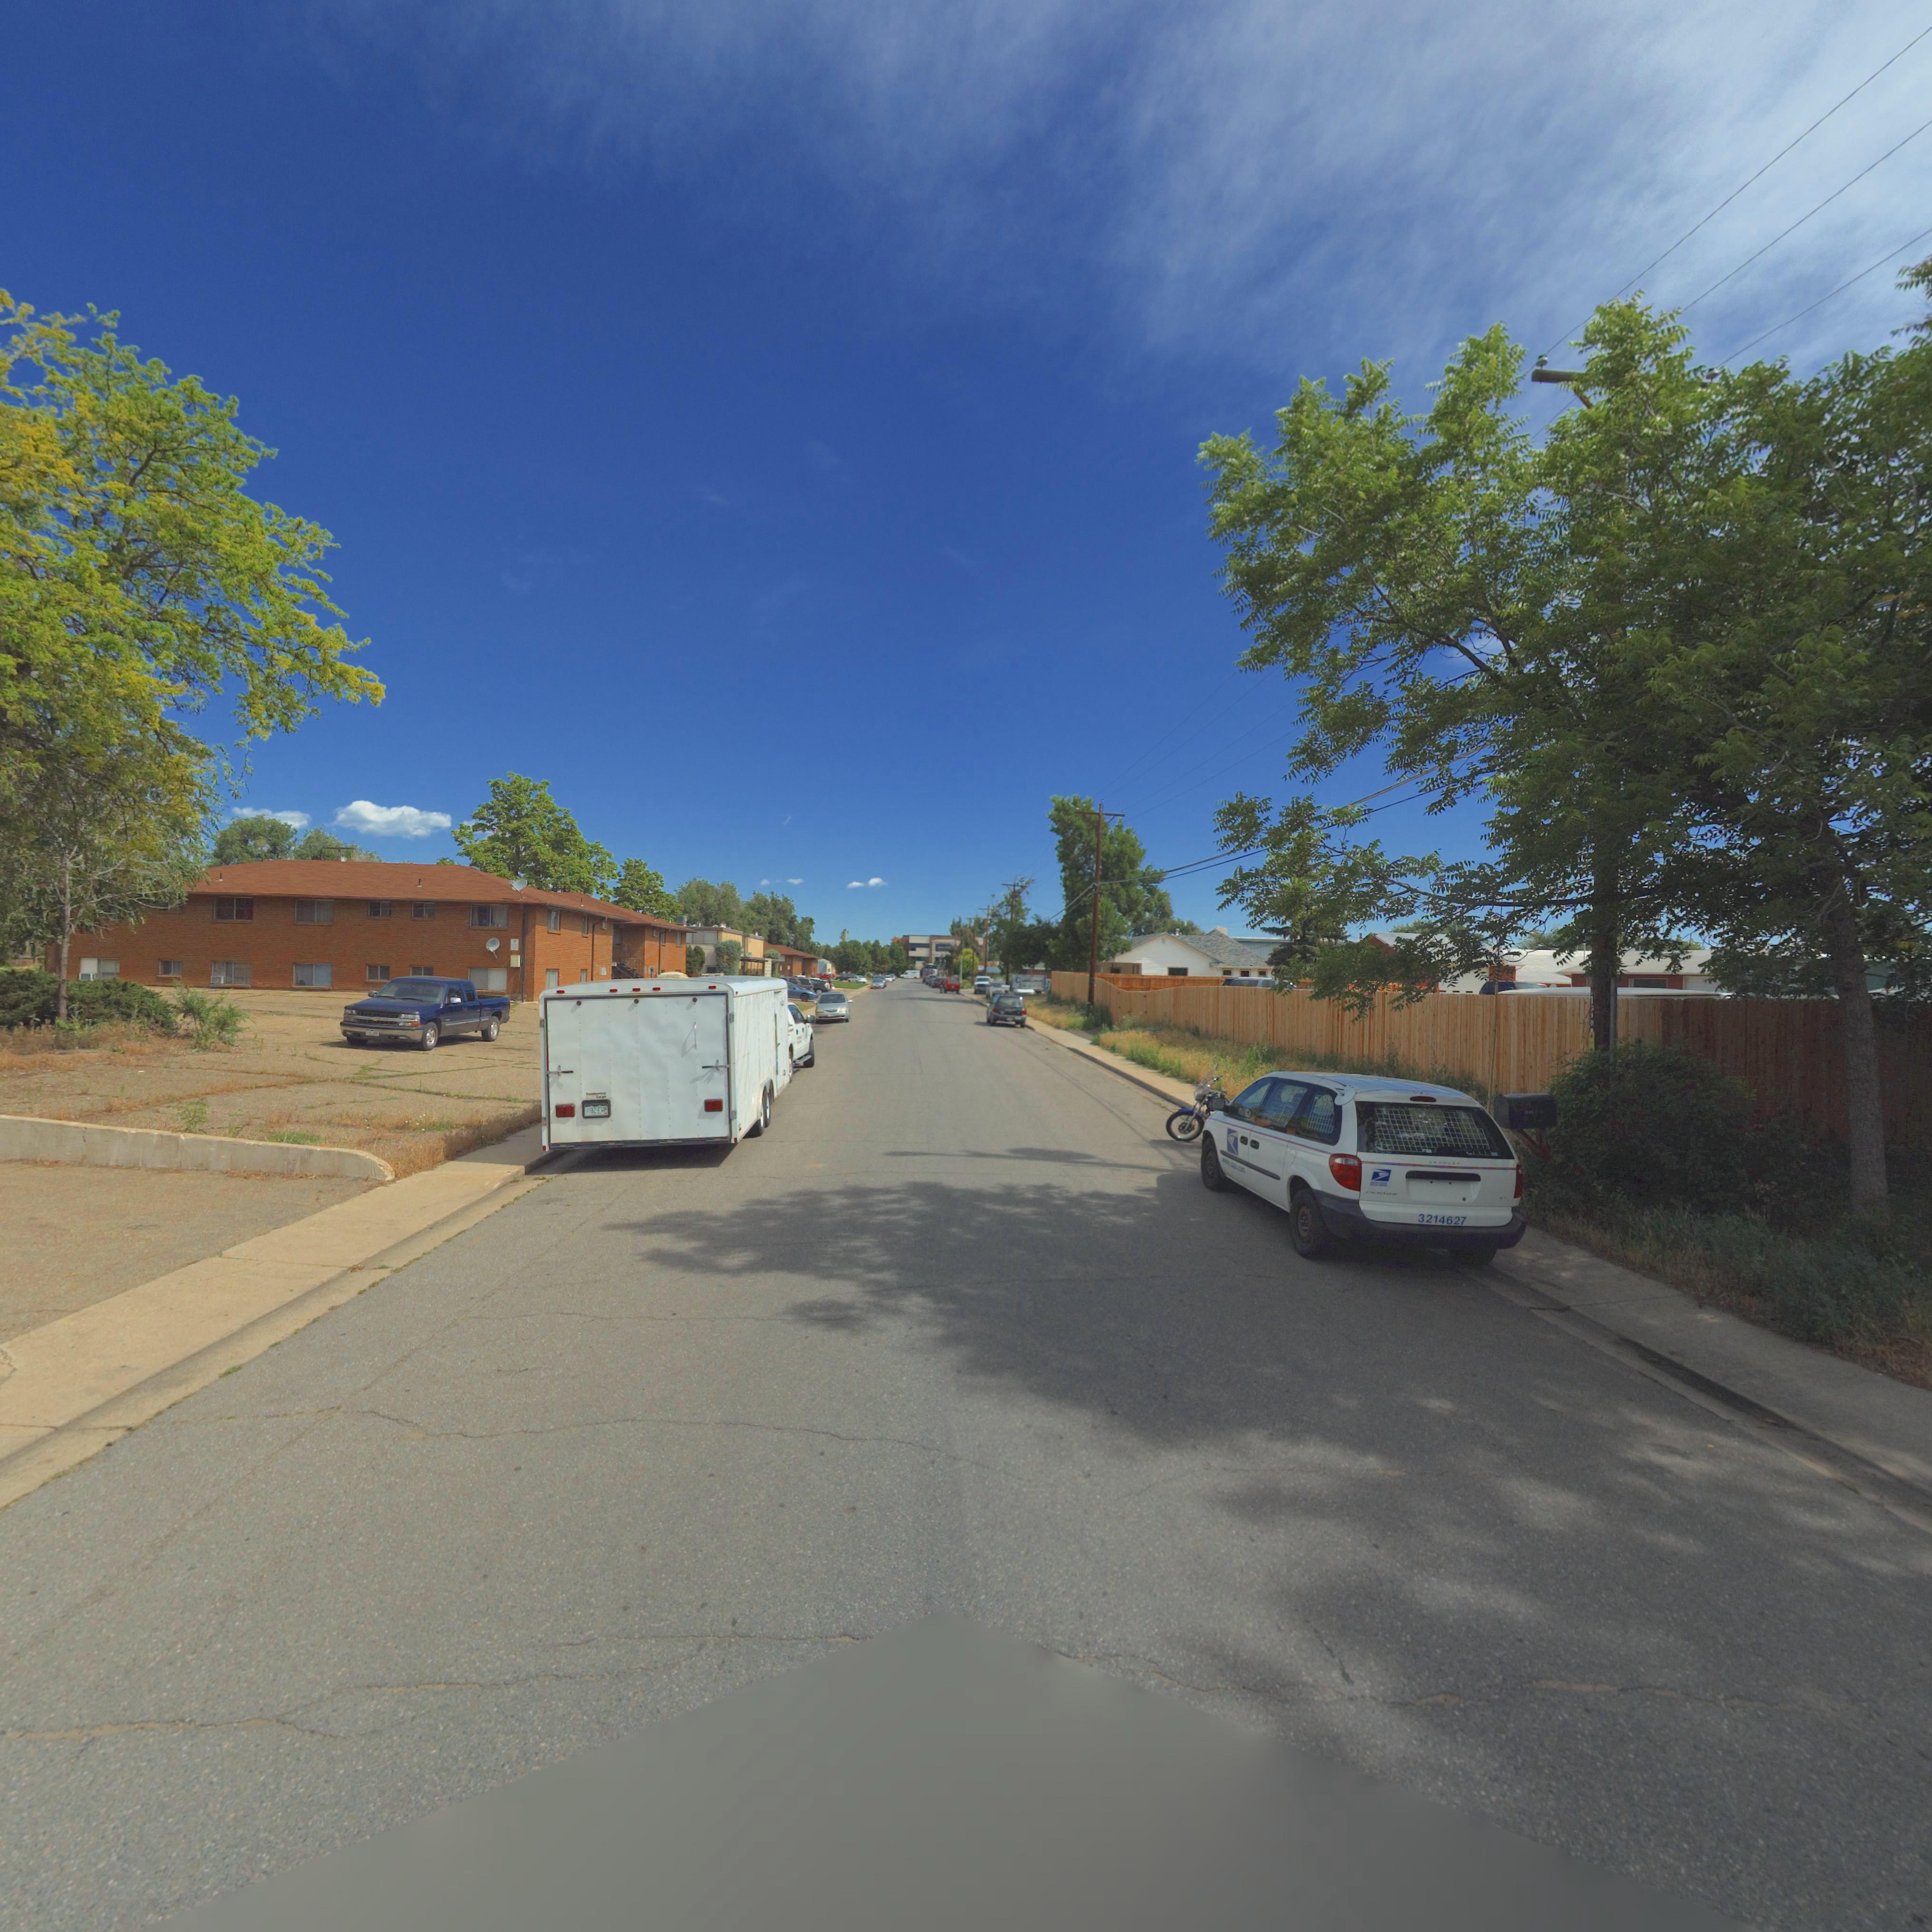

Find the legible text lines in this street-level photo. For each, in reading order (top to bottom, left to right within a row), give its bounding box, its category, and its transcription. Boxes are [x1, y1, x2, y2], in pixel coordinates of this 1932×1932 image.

[1014, 977, 1042, 983] BusinessName: C*******